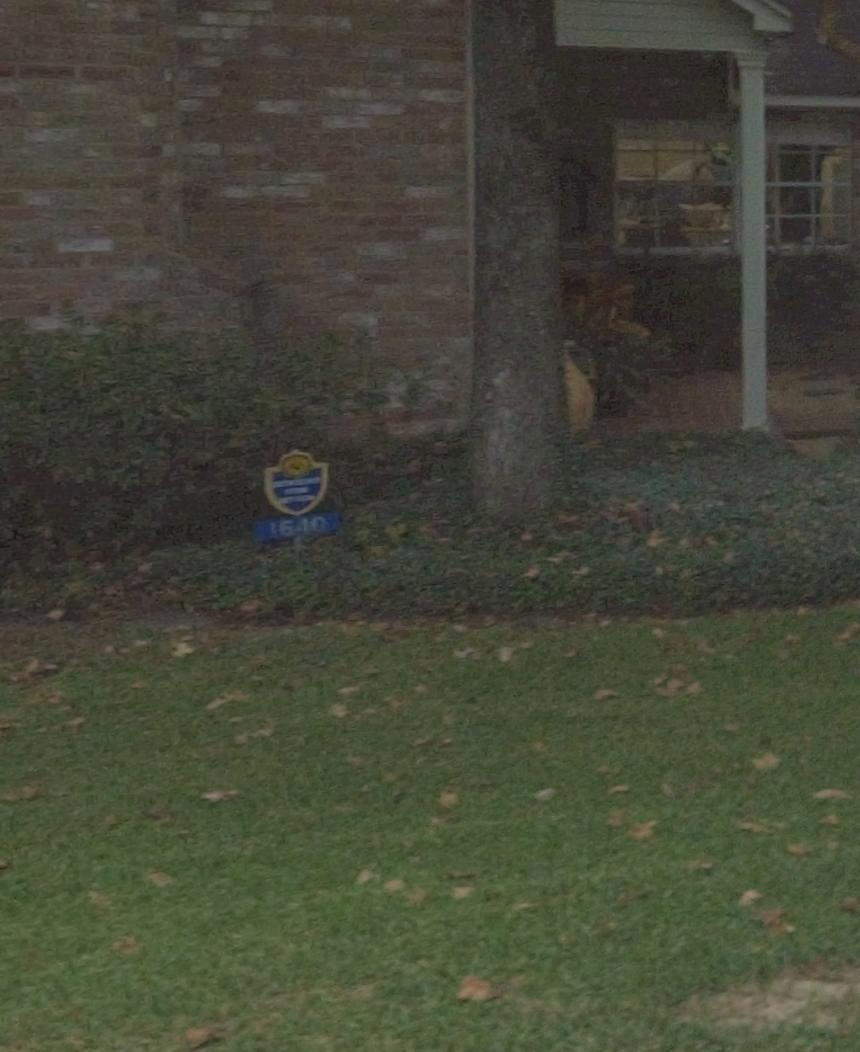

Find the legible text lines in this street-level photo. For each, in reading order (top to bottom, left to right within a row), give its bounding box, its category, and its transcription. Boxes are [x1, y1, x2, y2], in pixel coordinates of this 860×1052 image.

[268, 515, 329, 540] StreetNumber: 1640